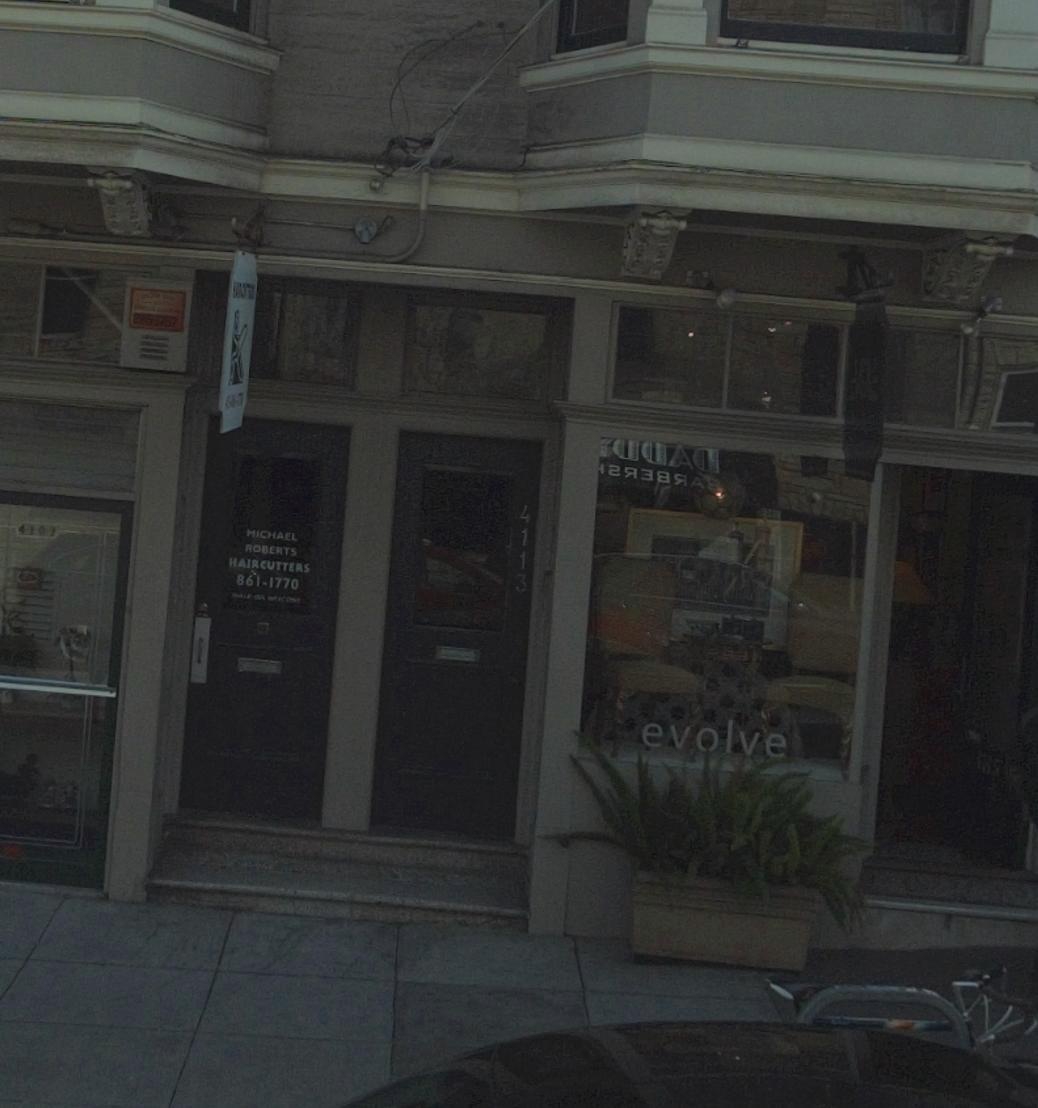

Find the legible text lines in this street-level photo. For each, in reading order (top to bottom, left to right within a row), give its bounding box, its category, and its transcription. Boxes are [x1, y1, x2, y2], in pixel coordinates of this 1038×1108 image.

[599, 436, 721, 476] None: ***A*
[599, 461, 723, 494] None: ******A*
[17, 523, 58, 537] StreetNumber: 4103
[245, 528, 298, 543] BusinessName: MICHAEL
[244, 543, 298, 557] BusinessName: ROBERTS
[513, 503, 532, 595] StreetNumber: 4113
[228, 556, 312, 574] BusinessName: HAIRCUTTERS
[236, 573, 300, 591] None: 861-1770
[641, 716, 789, 760] BusinessName: evolve